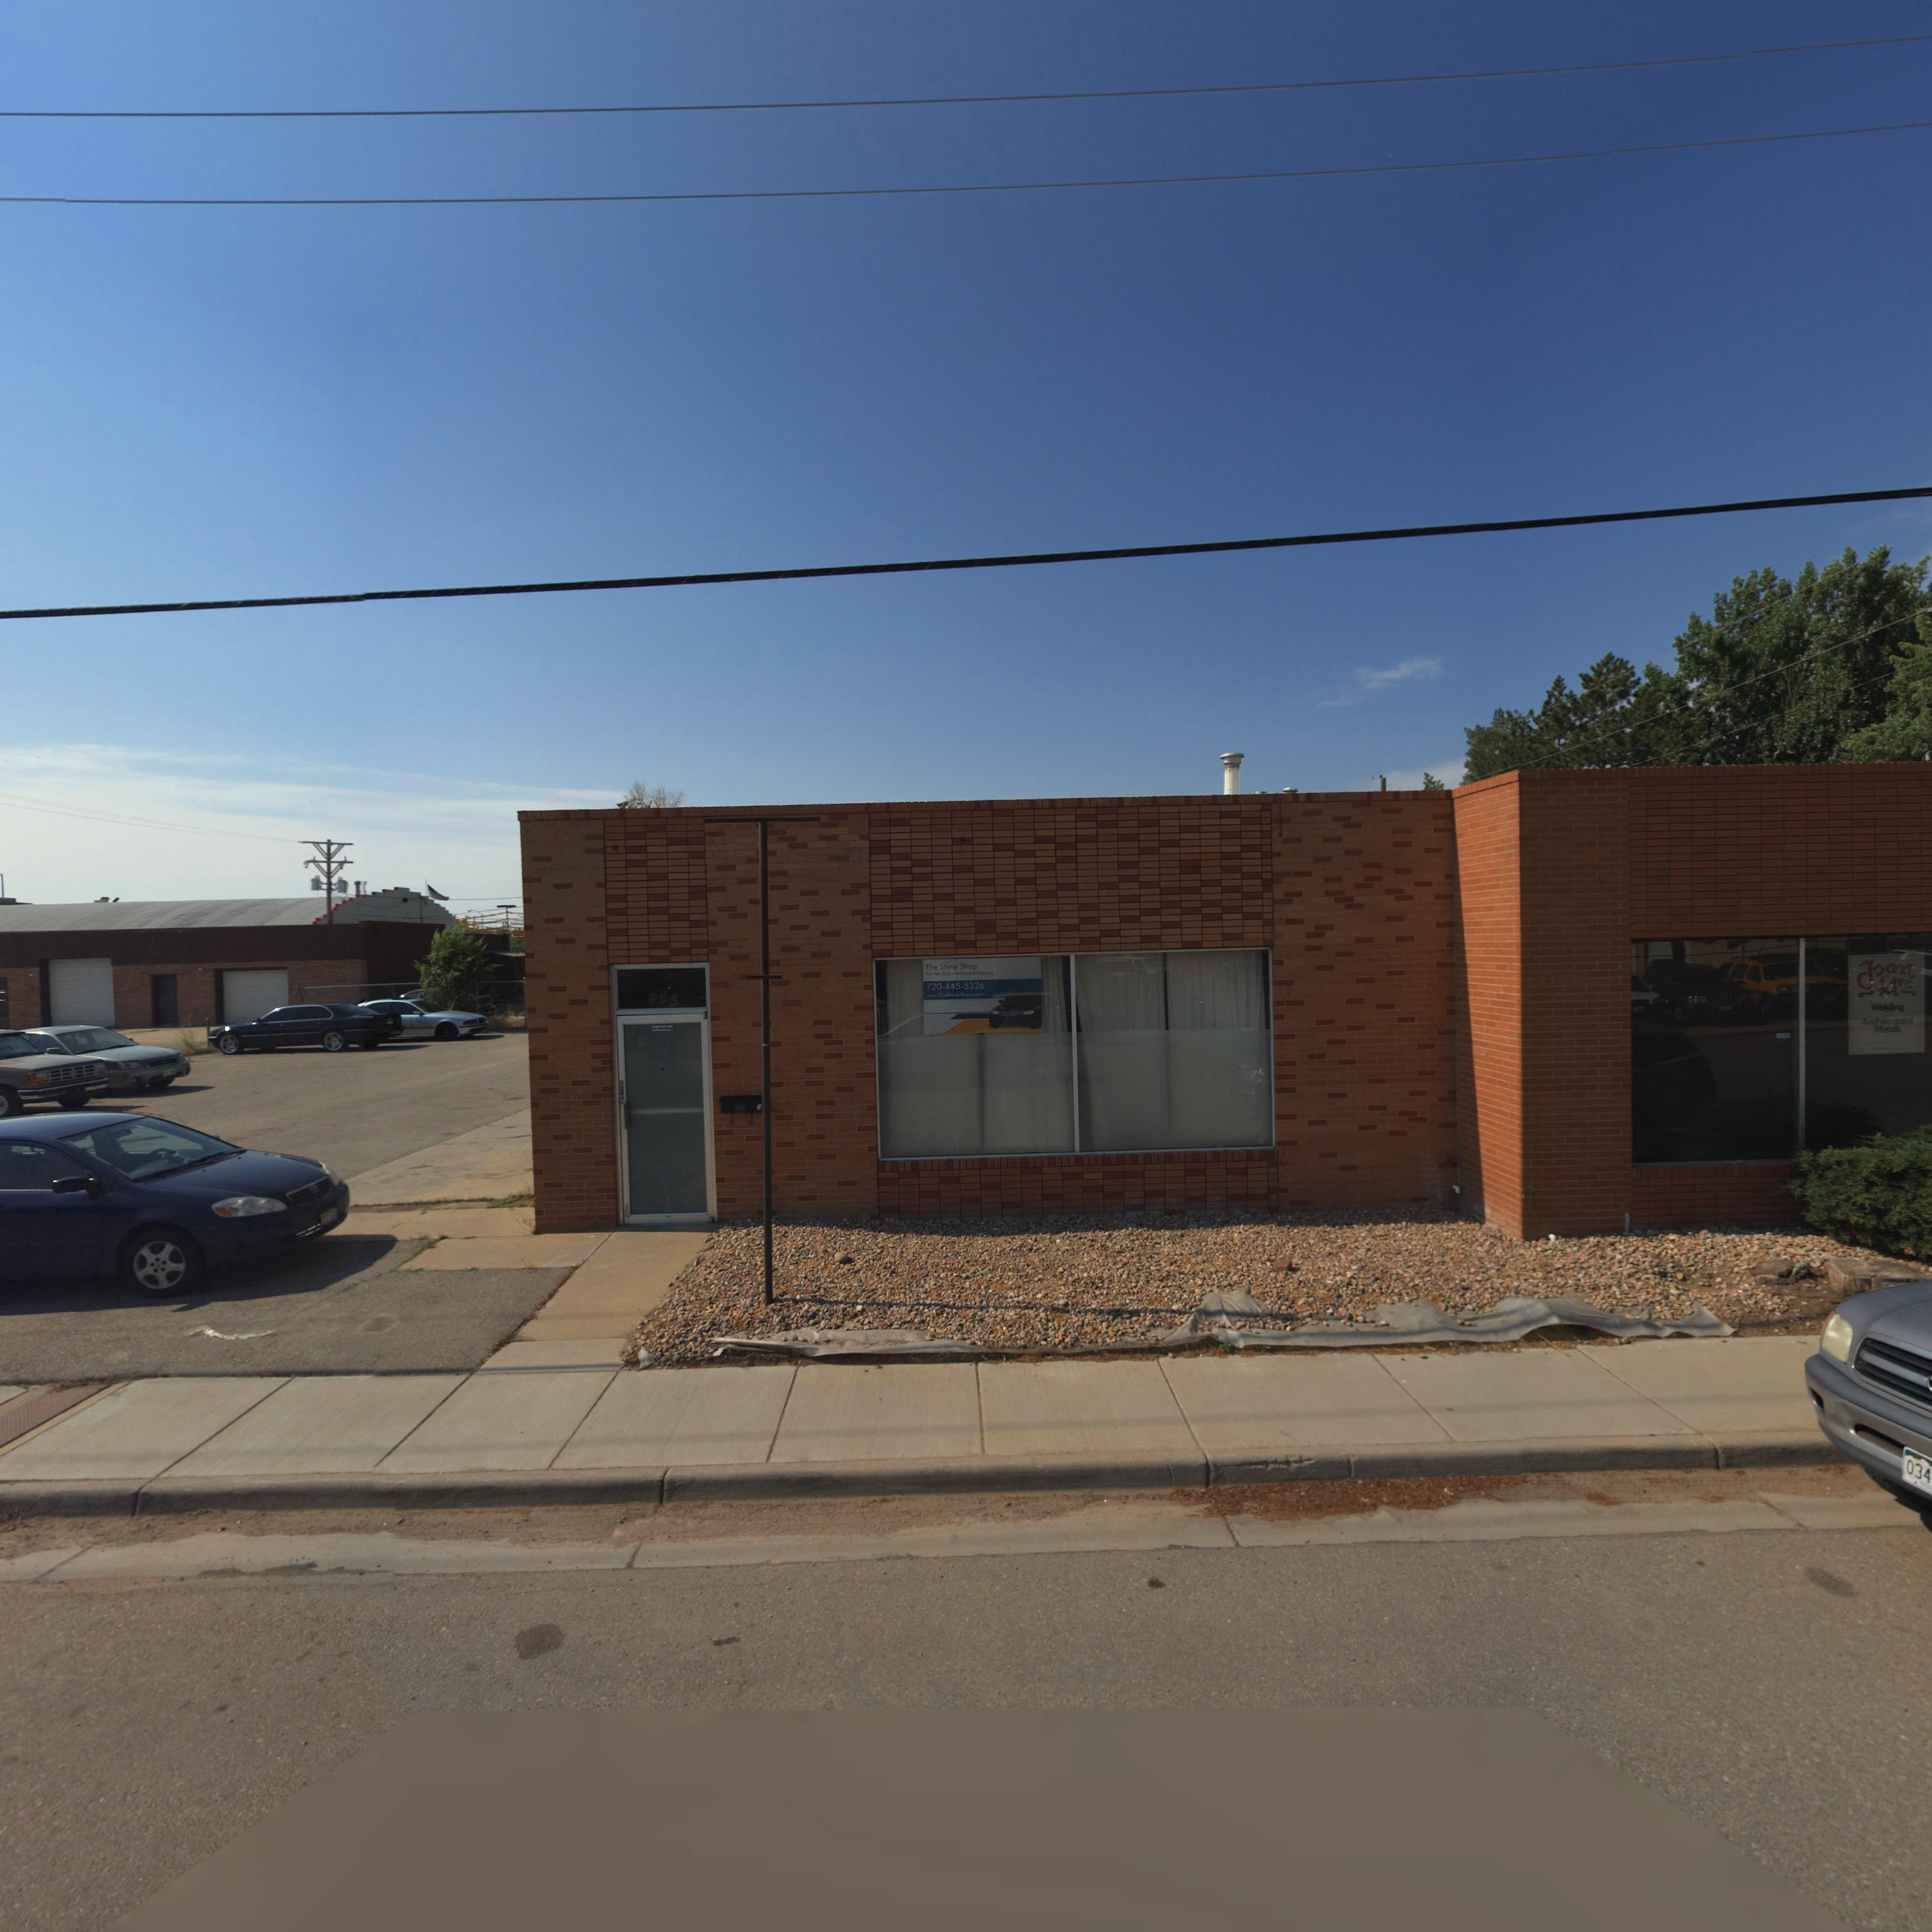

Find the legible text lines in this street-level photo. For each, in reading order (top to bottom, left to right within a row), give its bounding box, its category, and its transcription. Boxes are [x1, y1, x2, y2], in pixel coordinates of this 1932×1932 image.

[924, 962, 977, 971] BusinessName: The Shine Shop
[1855, 958, 1916, 991] BusinessName: Joan
[1874, 974, 1913, 997] BusinessName: of Arc
[647, 994, 679, 1007] StreetNumber: 695